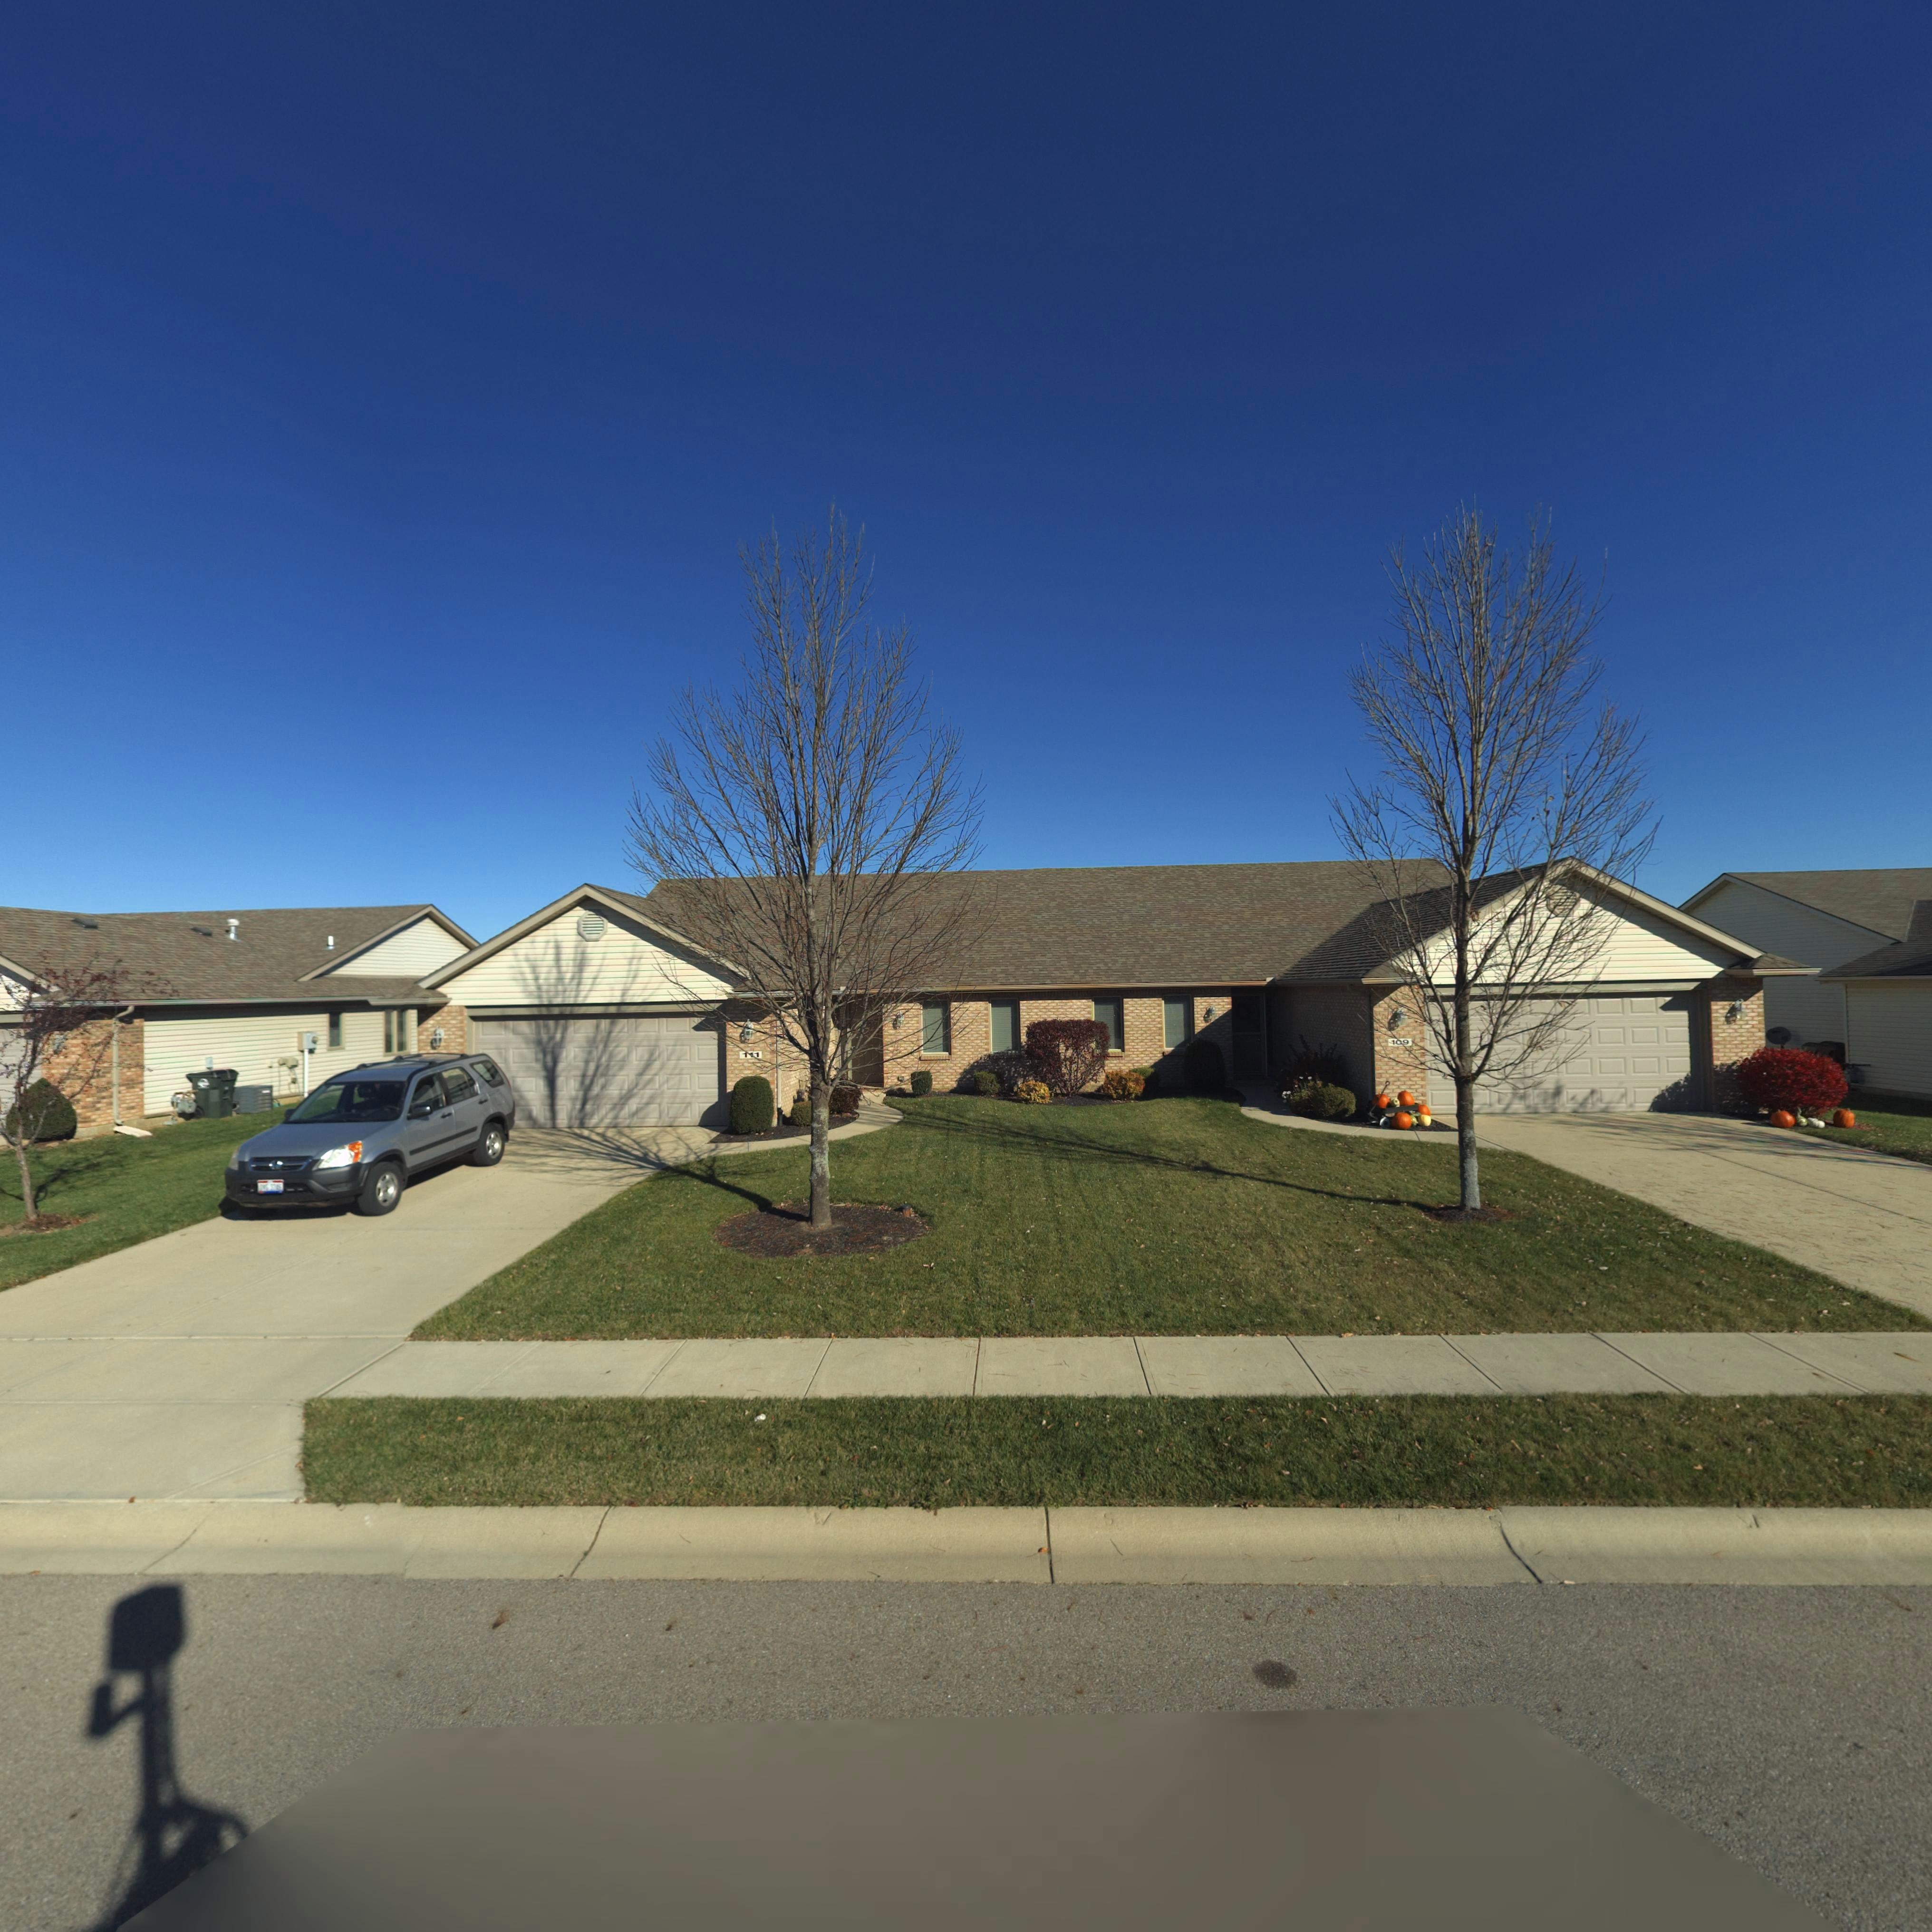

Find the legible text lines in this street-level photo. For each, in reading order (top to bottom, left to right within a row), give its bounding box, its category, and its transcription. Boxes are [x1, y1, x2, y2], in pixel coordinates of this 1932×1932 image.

[1391, 1039, 1410, 1046] StreetNumber: 109
[742, 1052, 760, 1058] StreetNumber: 1*1